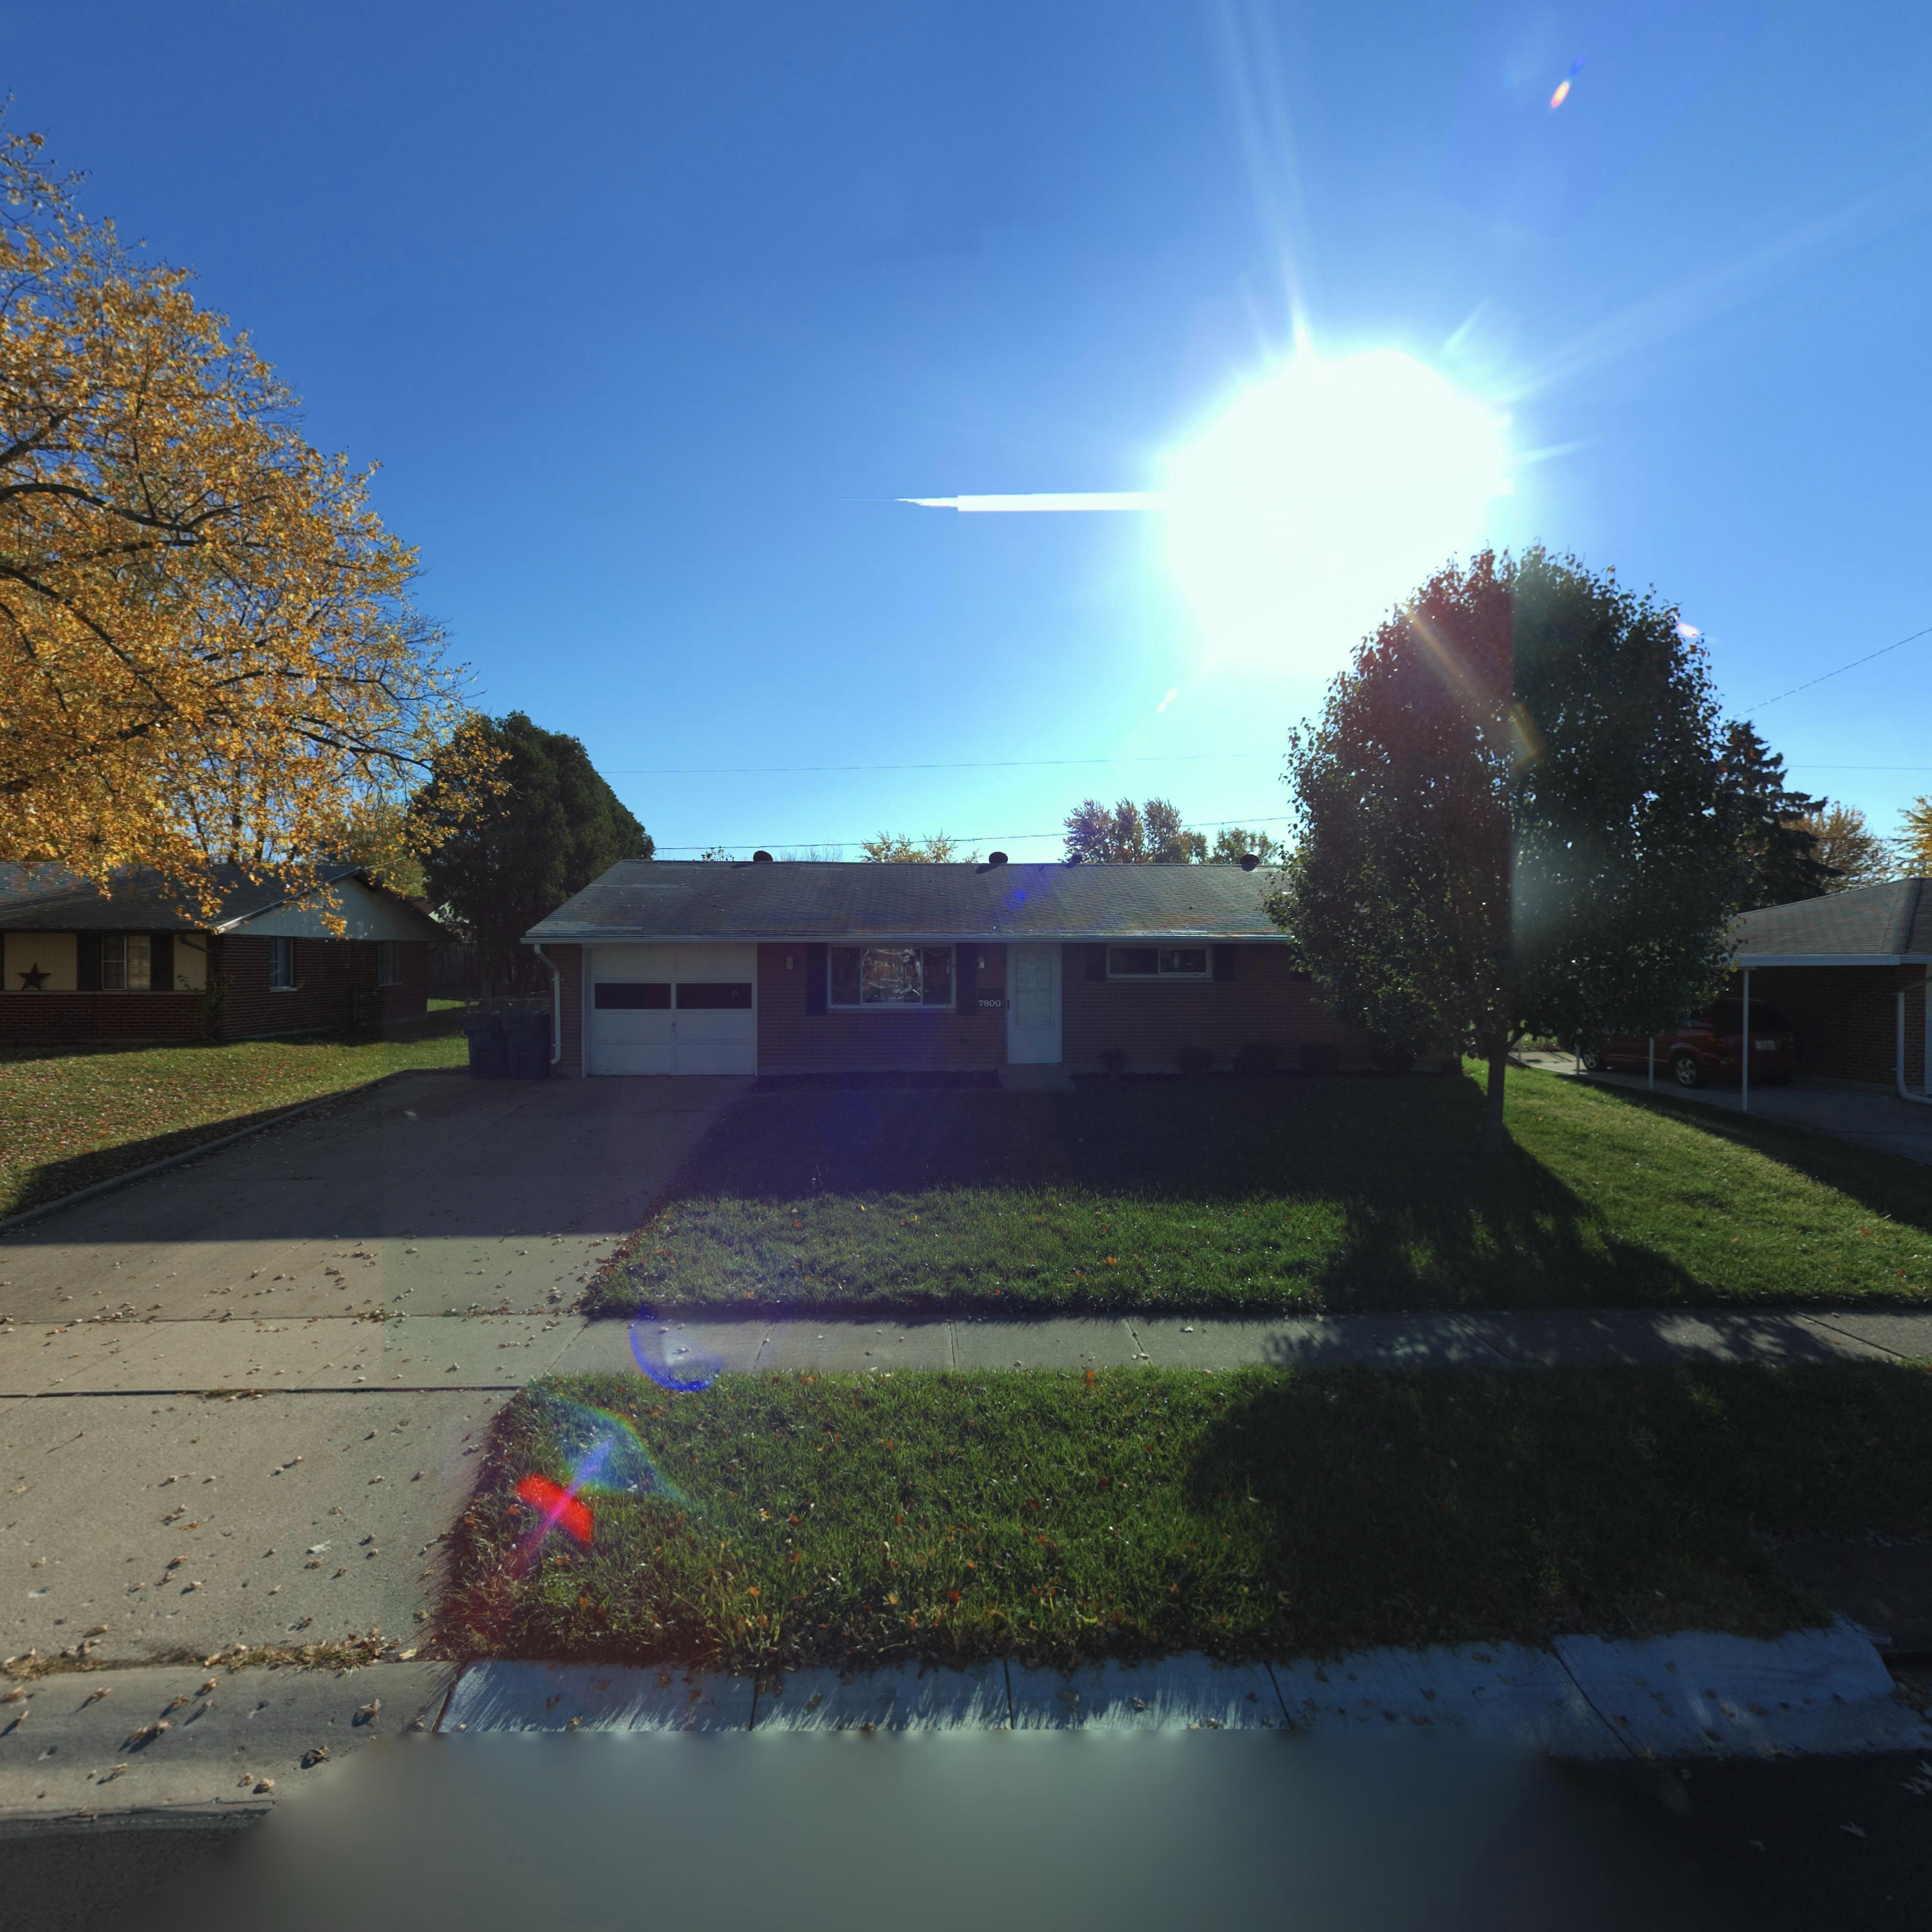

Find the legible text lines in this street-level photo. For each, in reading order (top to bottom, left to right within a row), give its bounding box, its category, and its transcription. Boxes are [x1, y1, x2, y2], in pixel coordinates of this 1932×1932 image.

[977, 999, 1002, 1008] StreetNumber: 7800